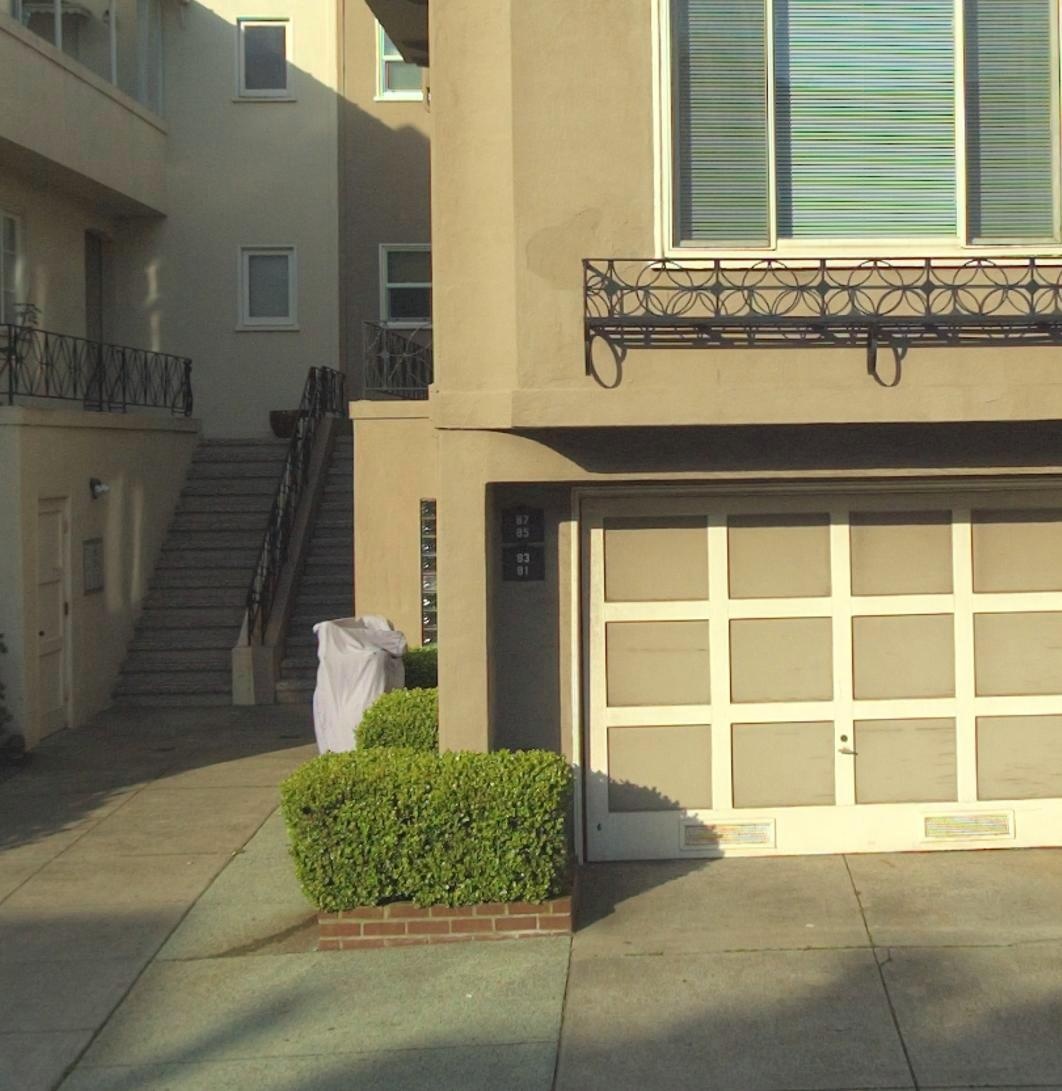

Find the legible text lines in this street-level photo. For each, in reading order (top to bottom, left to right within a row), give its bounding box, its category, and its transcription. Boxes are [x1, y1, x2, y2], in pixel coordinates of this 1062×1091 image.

[514, 513, 531, 527] StreetNumber: 87
[514, 526, 532, 540] StreetNumber: 85
[515, 551, 532, 565] StreetNumber: 83
[515, 563, 530, 578] StreetNumber: 81